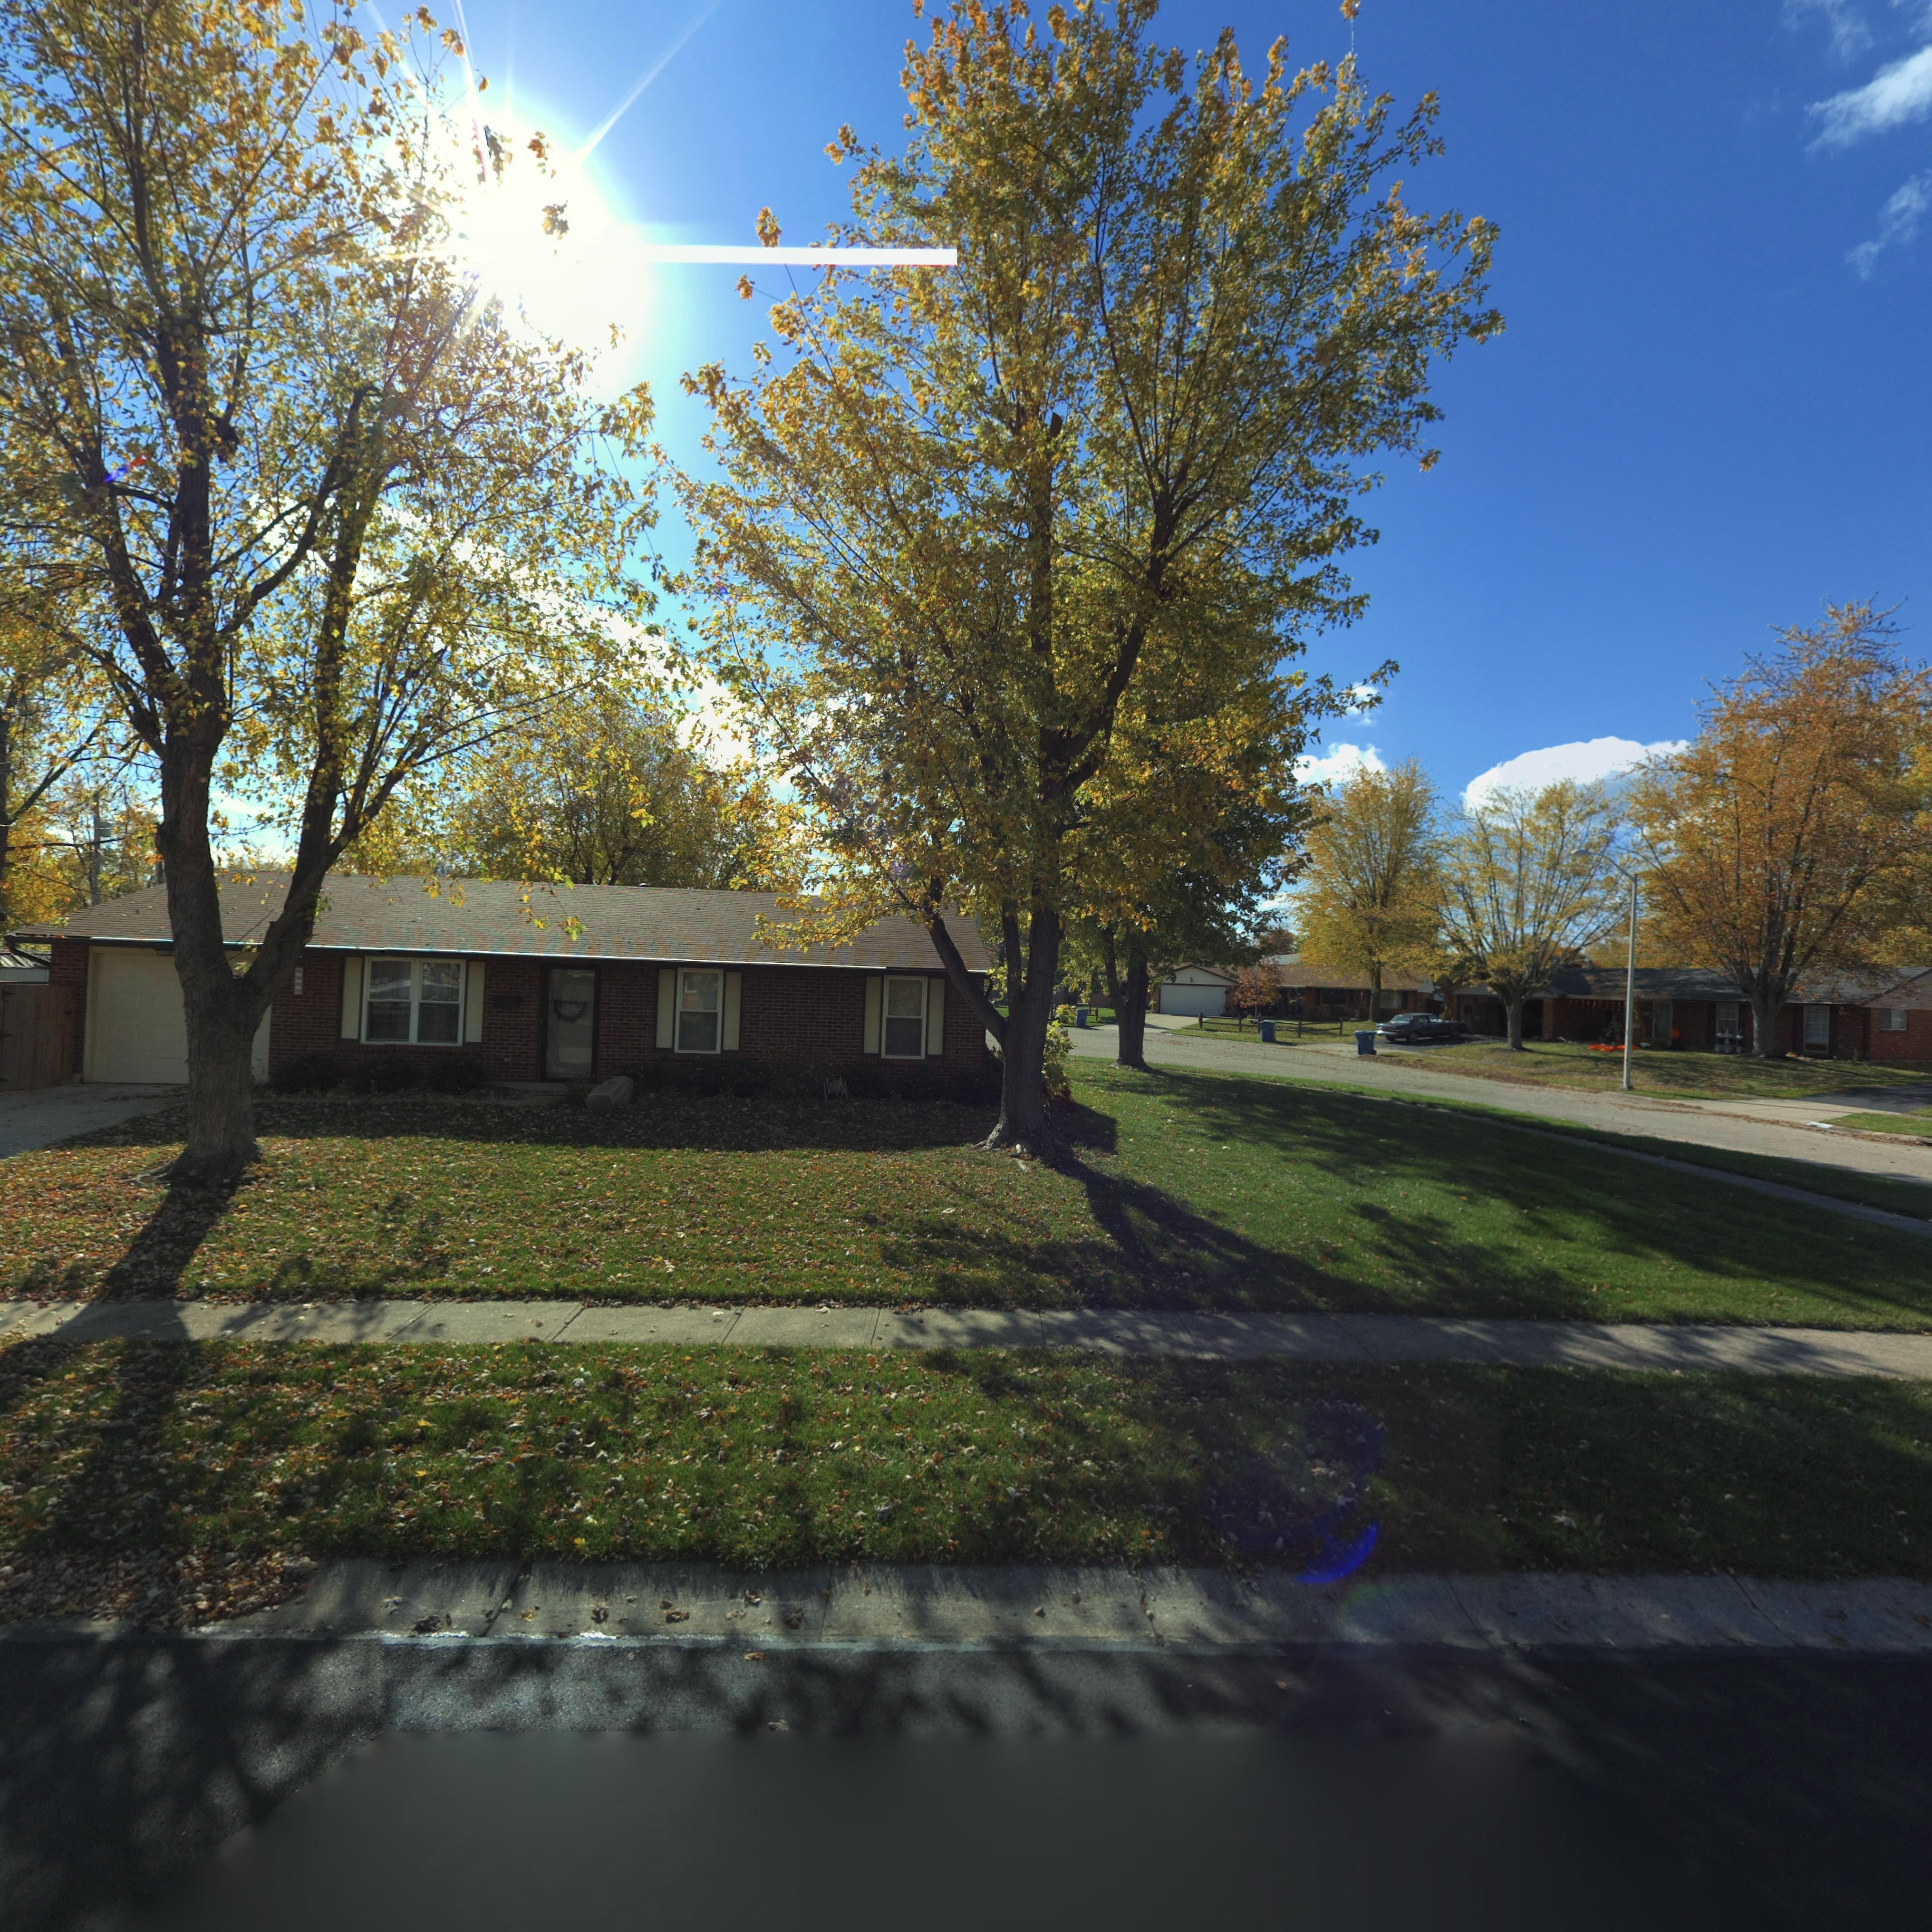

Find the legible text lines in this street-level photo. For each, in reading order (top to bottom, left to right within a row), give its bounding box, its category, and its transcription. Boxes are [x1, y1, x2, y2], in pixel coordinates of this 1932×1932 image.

[294, 967, 303, 995] StreetNumber: **00